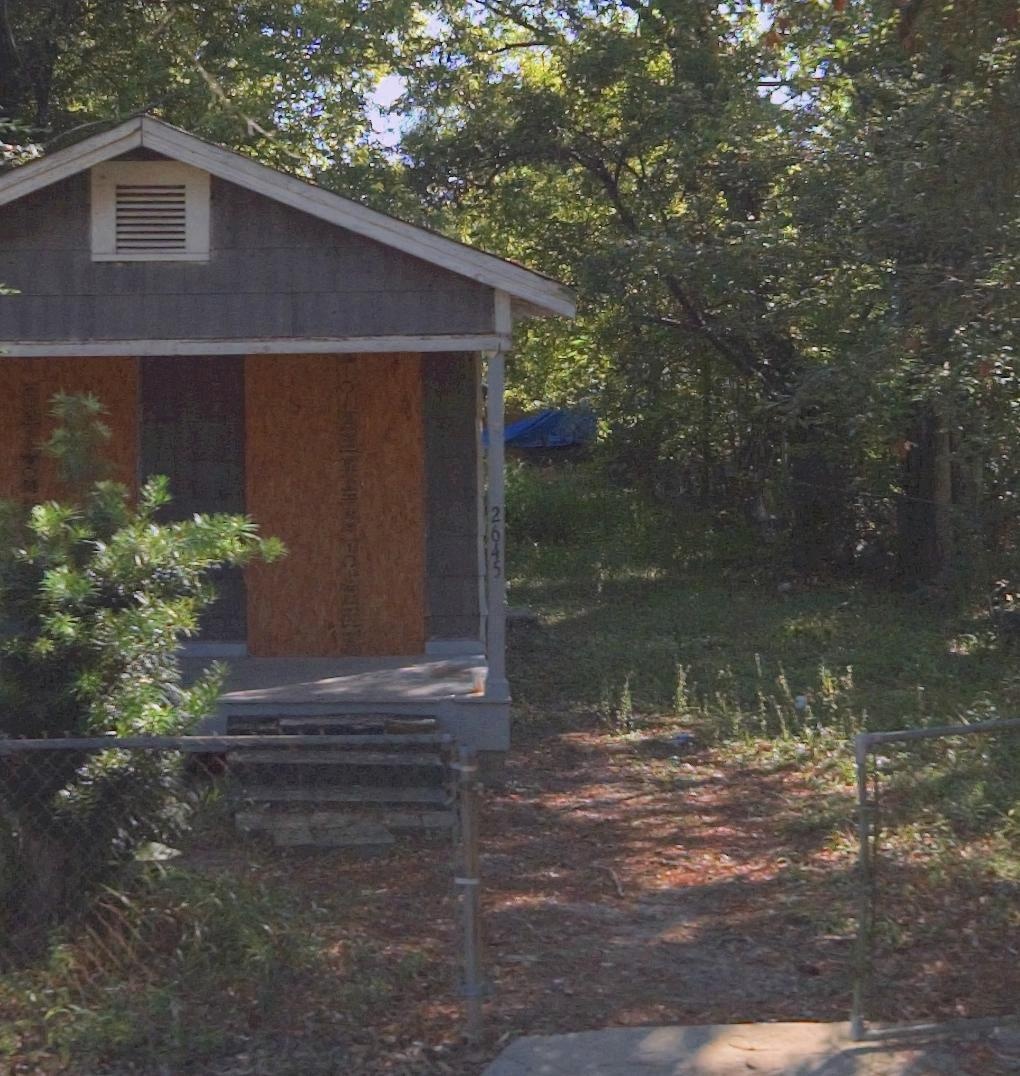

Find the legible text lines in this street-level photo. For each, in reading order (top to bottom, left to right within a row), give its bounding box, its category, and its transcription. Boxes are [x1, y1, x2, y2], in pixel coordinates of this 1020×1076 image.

[489, 504, 503, 582] StreetNumber: 2645